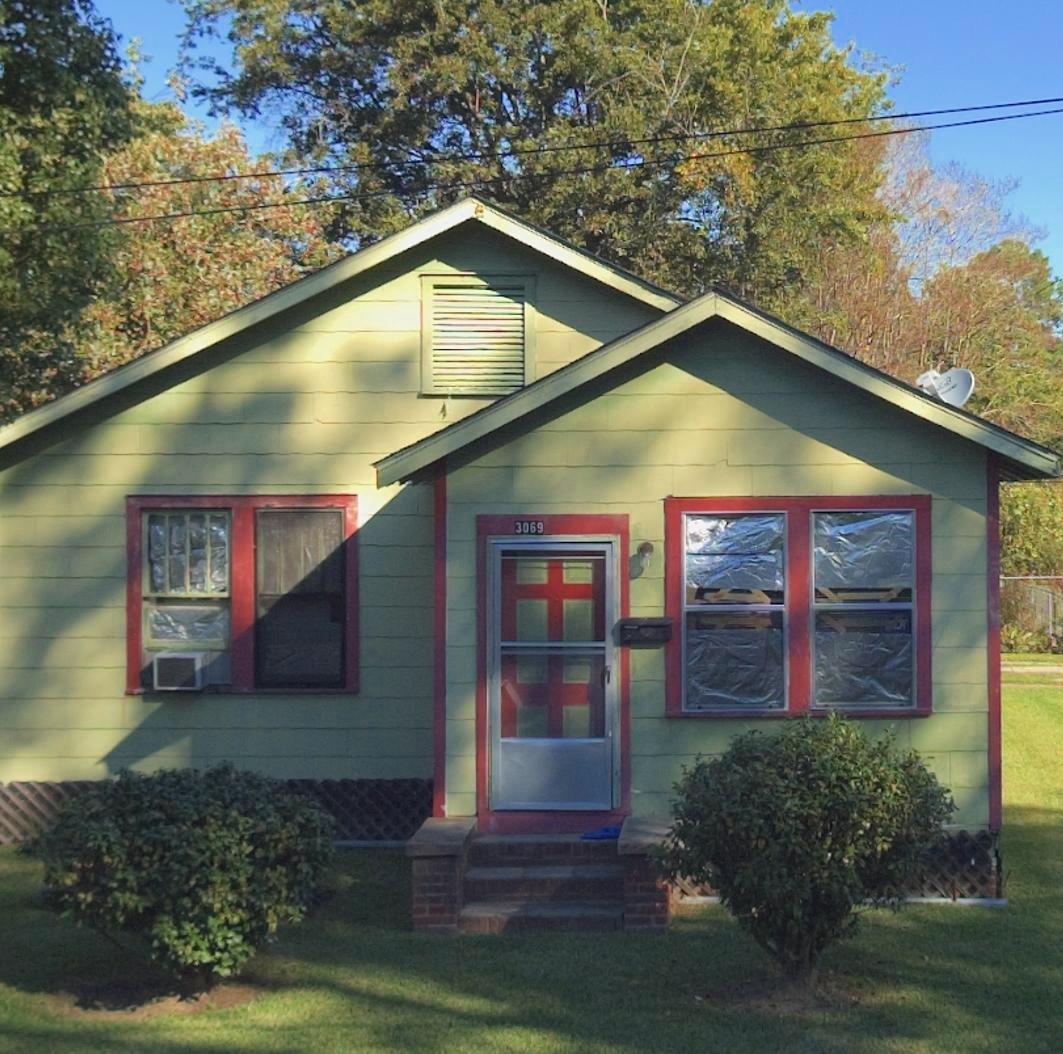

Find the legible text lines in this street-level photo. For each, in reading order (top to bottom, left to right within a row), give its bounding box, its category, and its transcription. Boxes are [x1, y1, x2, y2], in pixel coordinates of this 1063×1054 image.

[513, 520, 544, 535] StreetNumber: 3069